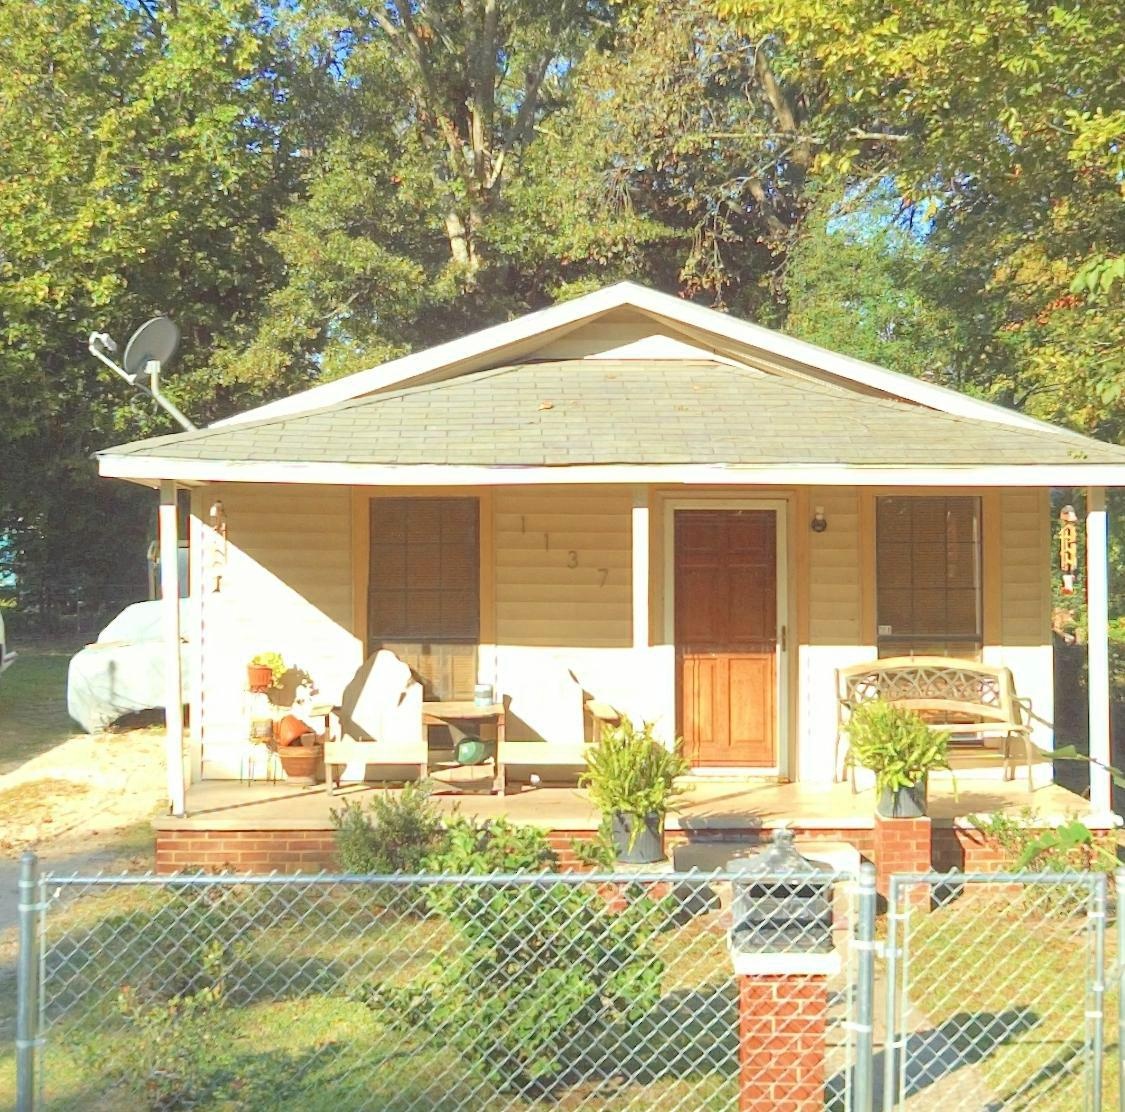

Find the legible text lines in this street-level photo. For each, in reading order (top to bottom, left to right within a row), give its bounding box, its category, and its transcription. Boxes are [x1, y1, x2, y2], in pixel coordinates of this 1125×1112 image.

[518, 511, 612, 593] StreetNumber: 1137